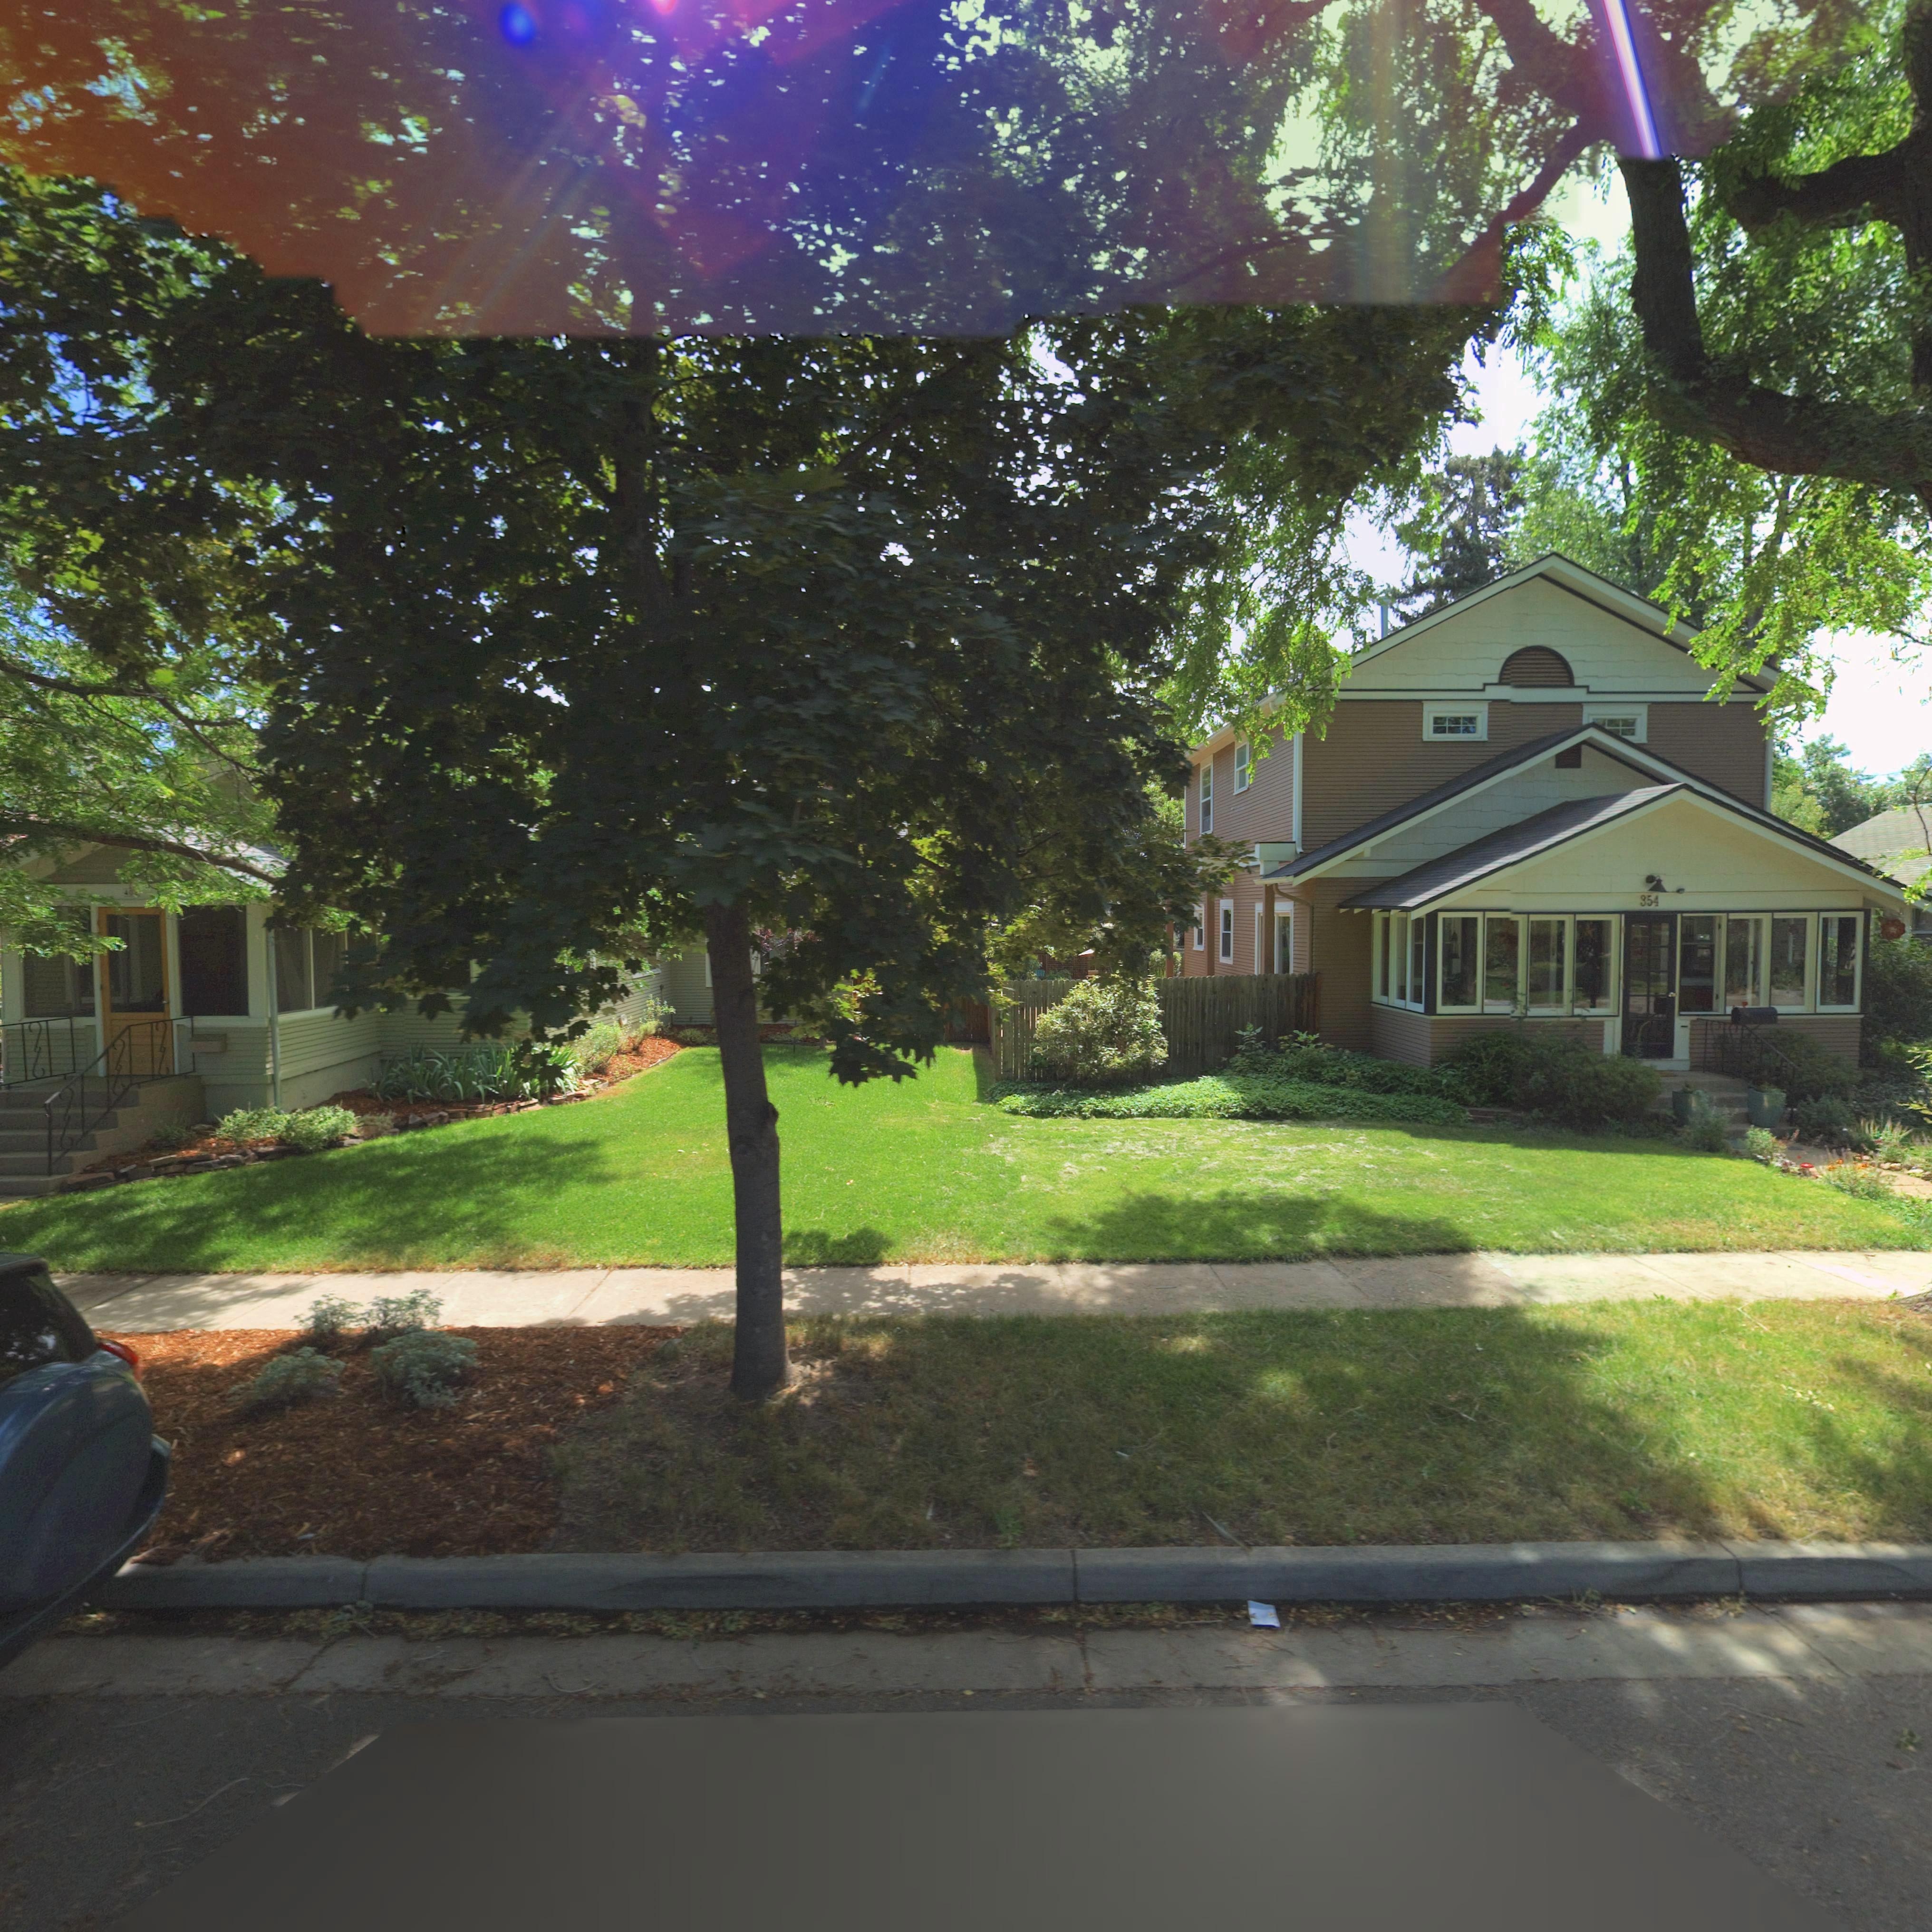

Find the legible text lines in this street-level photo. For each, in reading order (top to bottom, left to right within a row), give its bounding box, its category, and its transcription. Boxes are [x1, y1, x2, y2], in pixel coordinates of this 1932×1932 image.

[1640, 894, 1659, 906] StreetNumber: 354